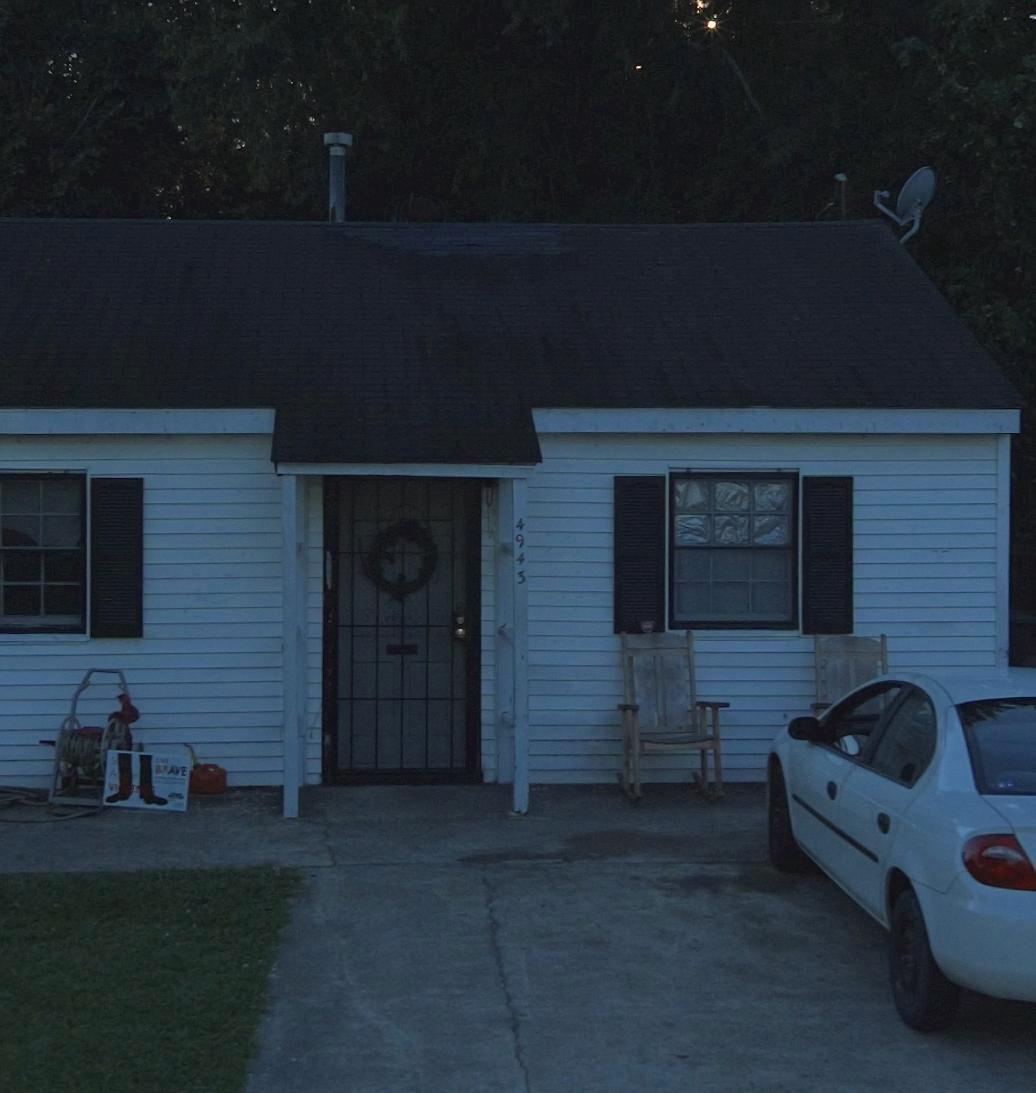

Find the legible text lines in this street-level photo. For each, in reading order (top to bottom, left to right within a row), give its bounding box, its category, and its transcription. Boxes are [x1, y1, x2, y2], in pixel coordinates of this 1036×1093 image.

[514, 516, 526, 586] StreetNumber: 4943
[168, 765, 187, 777] None: AVE